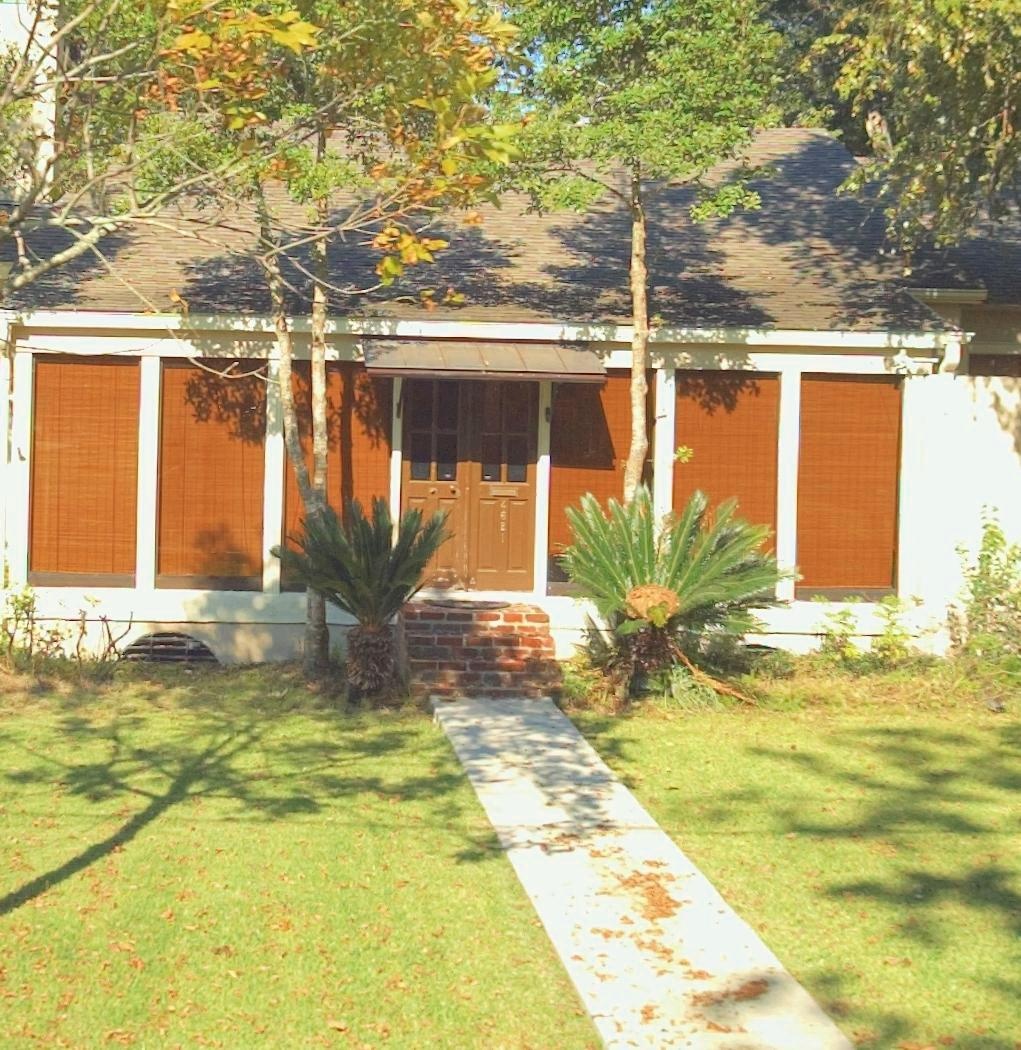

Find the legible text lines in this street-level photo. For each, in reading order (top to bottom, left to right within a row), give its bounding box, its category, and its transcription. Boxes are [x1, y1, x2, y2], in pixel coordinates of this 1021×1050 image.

[498, 498, 509, 545] StreetNumber: 2621